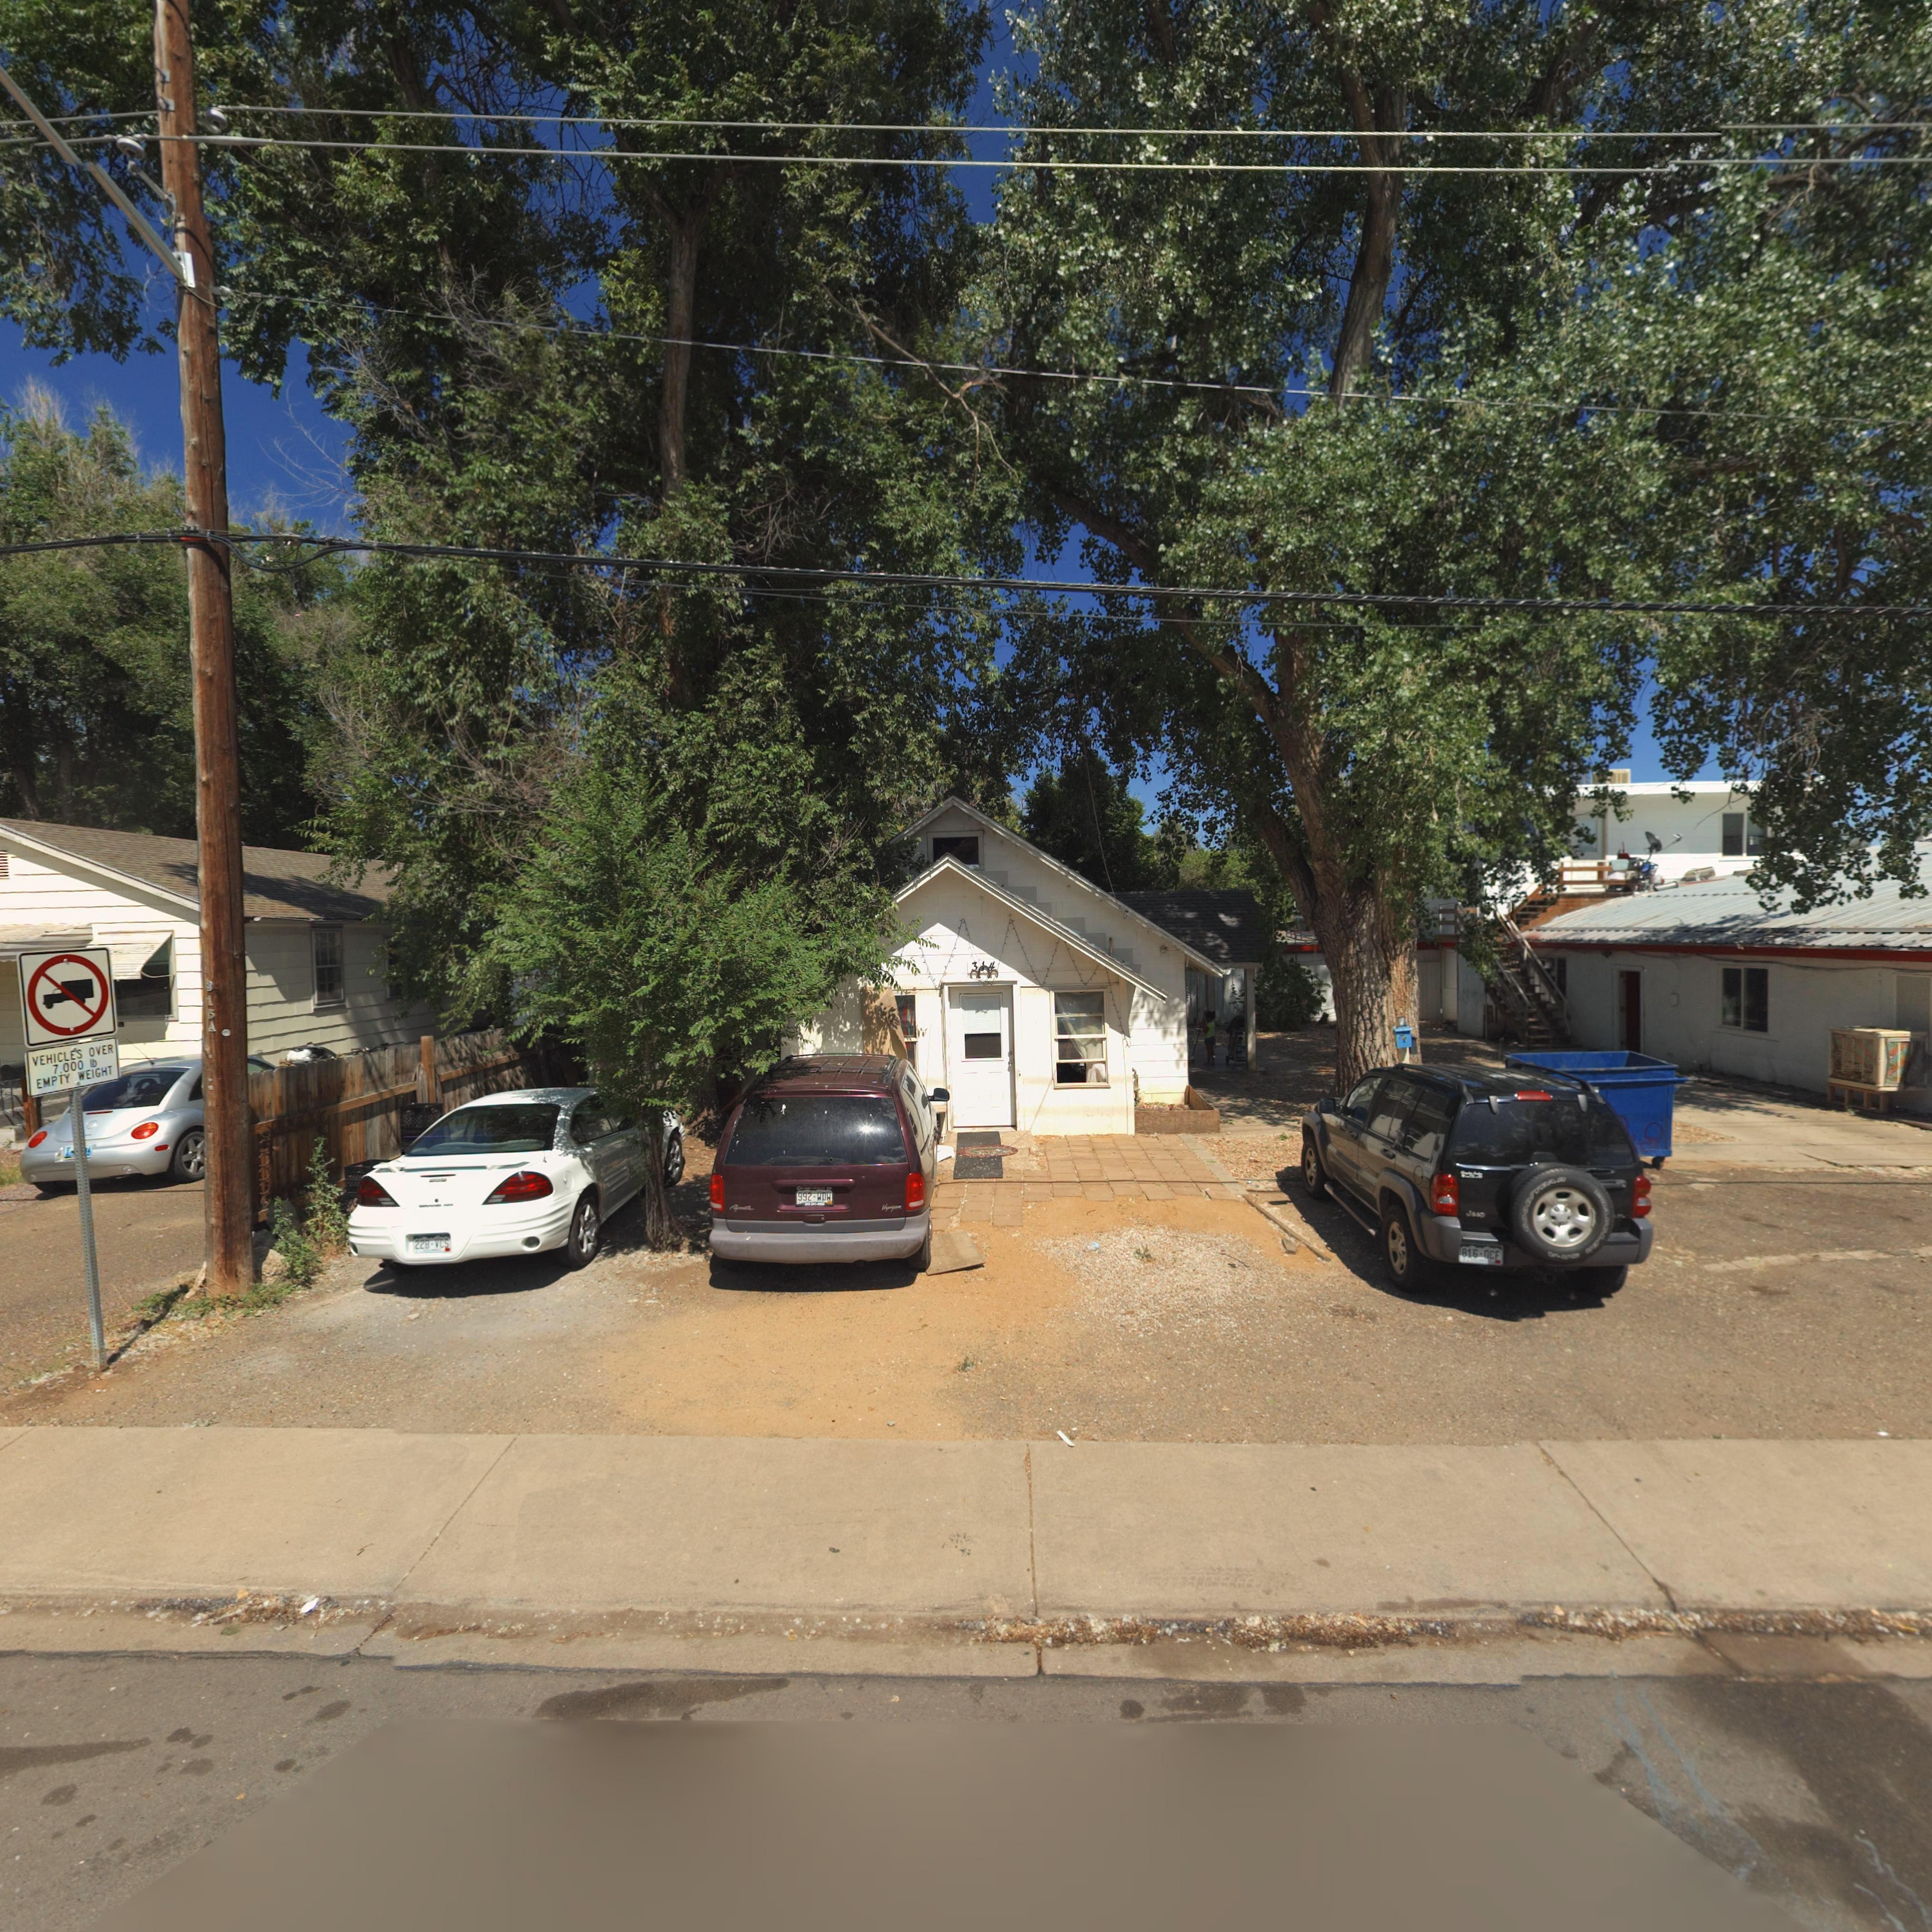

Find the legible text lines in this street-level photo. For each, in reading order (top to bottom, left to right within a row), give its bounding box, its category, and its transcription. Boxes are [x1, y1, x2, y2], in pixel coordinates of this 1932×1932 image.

[971, 959, 996, 972] StreetNumber: 314
[205, 979, 217, 1033] StreetNumber: 315A